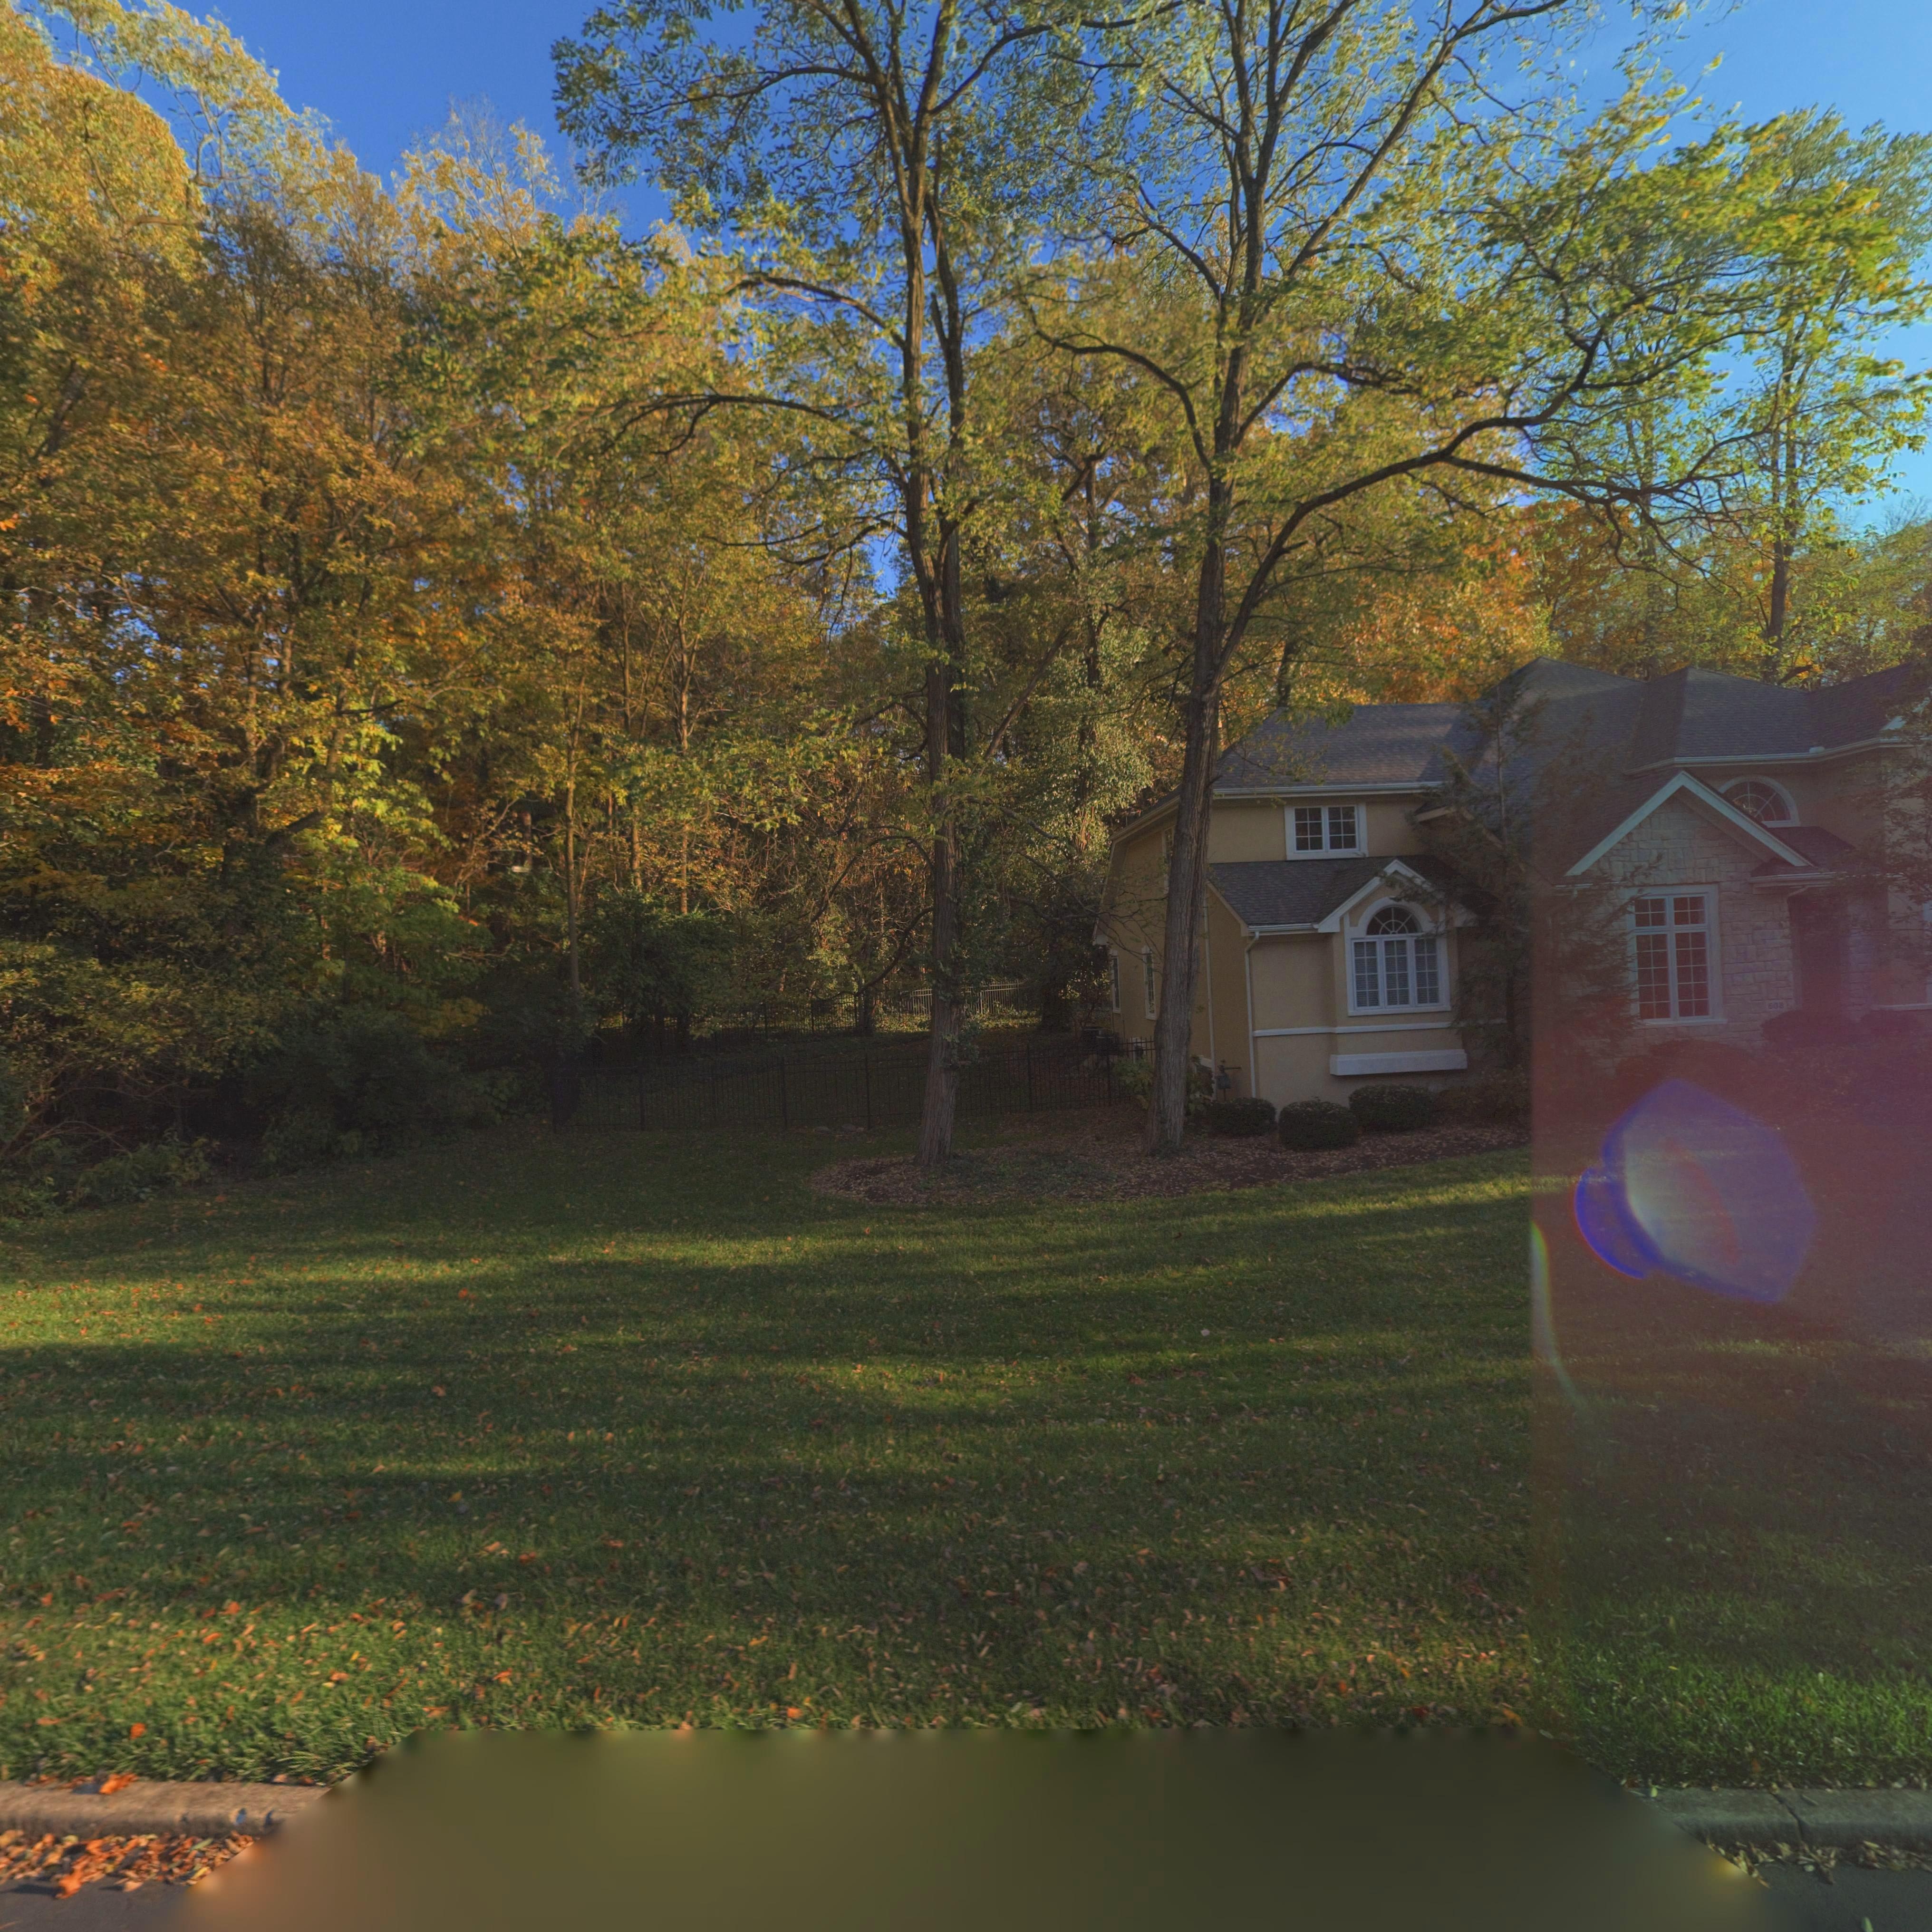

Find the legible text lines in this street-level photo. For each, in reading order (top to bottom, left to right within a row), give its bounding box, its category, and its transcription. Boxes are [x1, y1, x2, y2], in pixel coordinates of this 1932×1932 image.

[1768, 1002, 1784, 1009] StreetNumber: 608